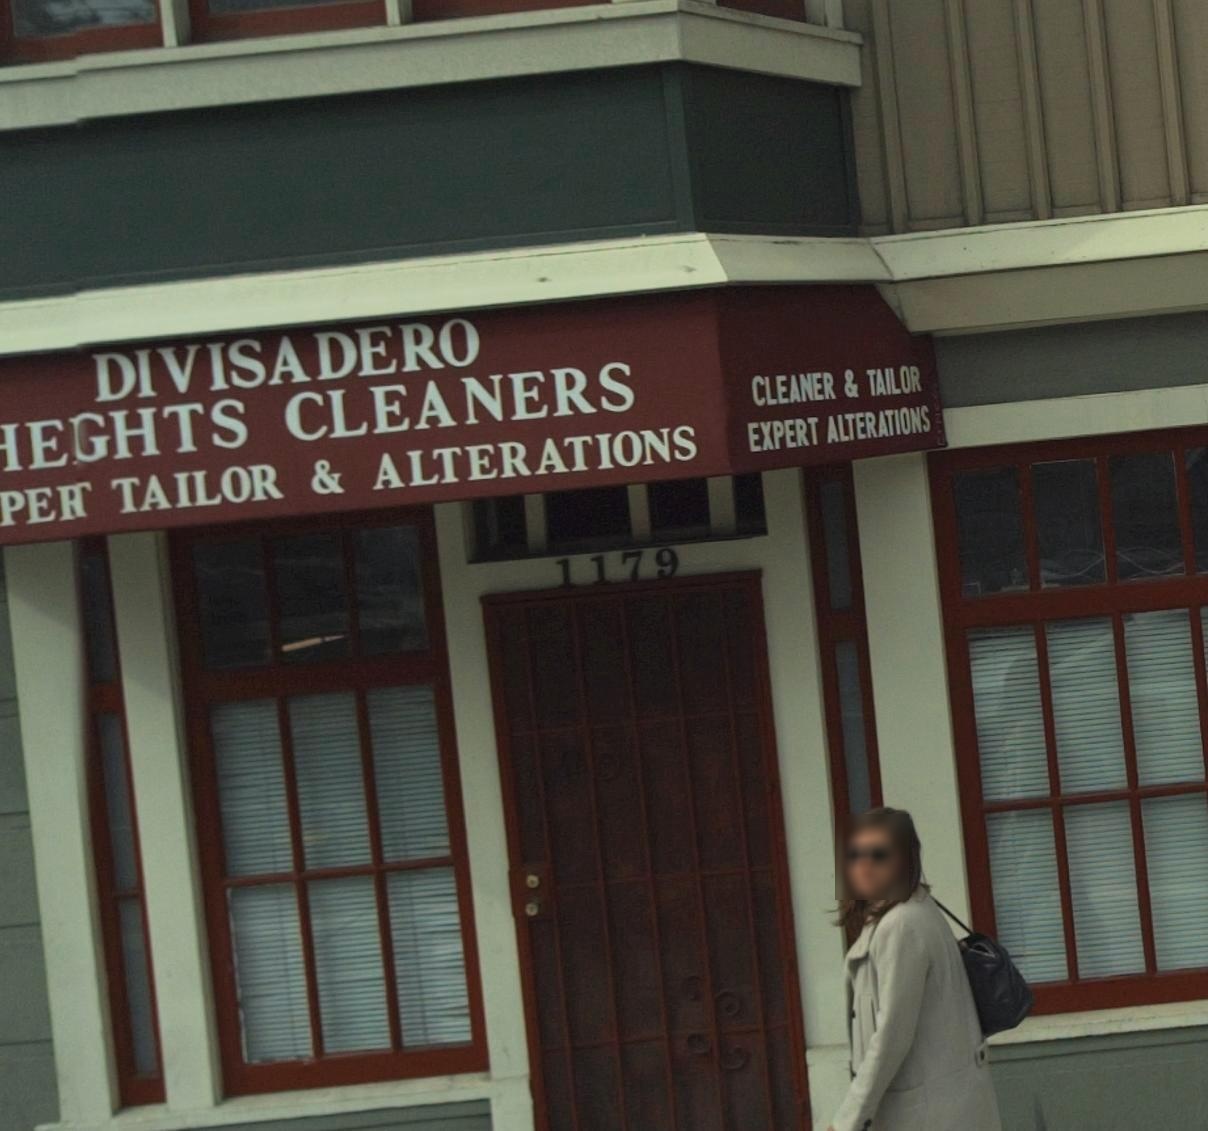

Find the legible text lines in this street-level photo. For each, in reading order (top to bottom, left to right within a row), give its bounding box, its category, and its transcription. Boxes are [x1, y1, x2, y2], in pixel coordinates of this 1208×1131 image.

[82, 313, 487, 406] BusinessName: DIVISADERO
[0, 355, 642, 479] BusinessName: *E*HTS CLEANERS
[0, 419, 701, 531] None: PE* TAILOR & ALTERATIONS
[746, 361, 925, 410] None: CLEANER & TAILOR
[745, 401, 935, 456] None: EXPERT ALTERATIONS
[551, 544, 682, 591] StreetNumber: 1179